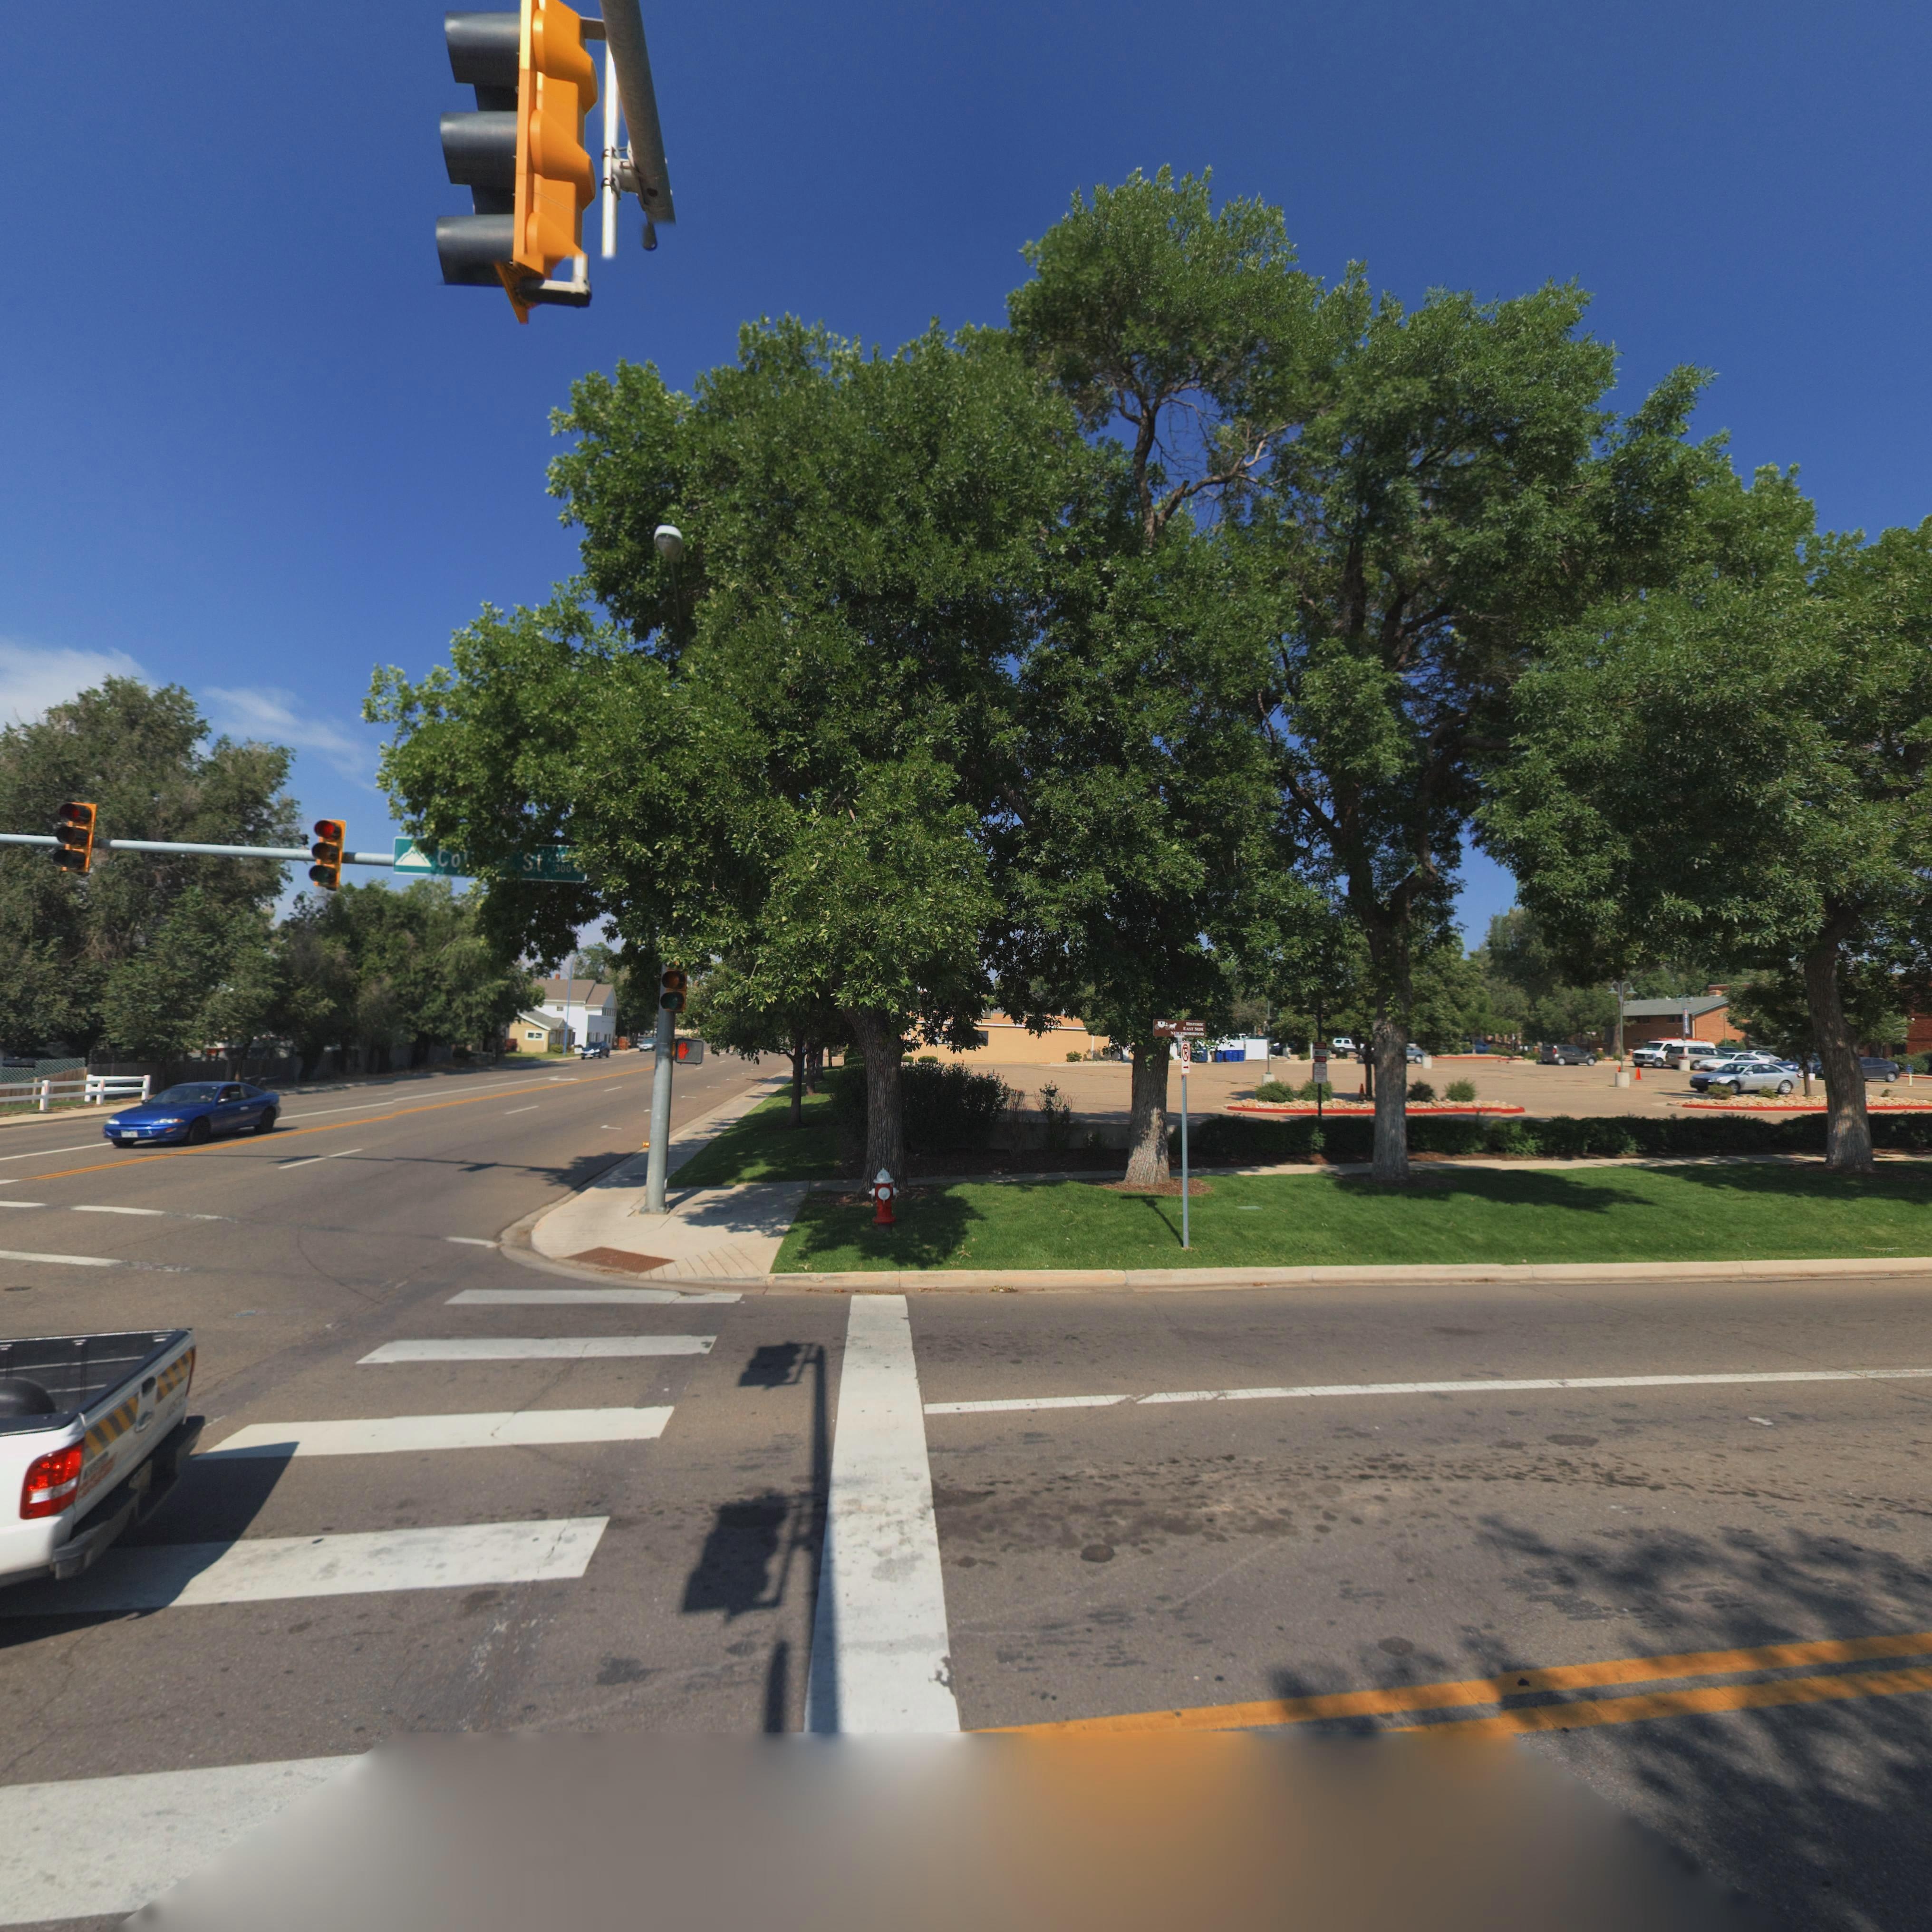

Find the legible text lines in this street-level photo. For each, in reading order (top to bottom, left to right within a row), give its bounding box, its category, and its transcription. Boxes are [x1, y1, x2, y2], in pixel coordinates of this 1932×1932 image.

[436, 846, 544, 872] StreetName: Co***** St
[554, 863, 584, 873] StreetNumberRange: 300->